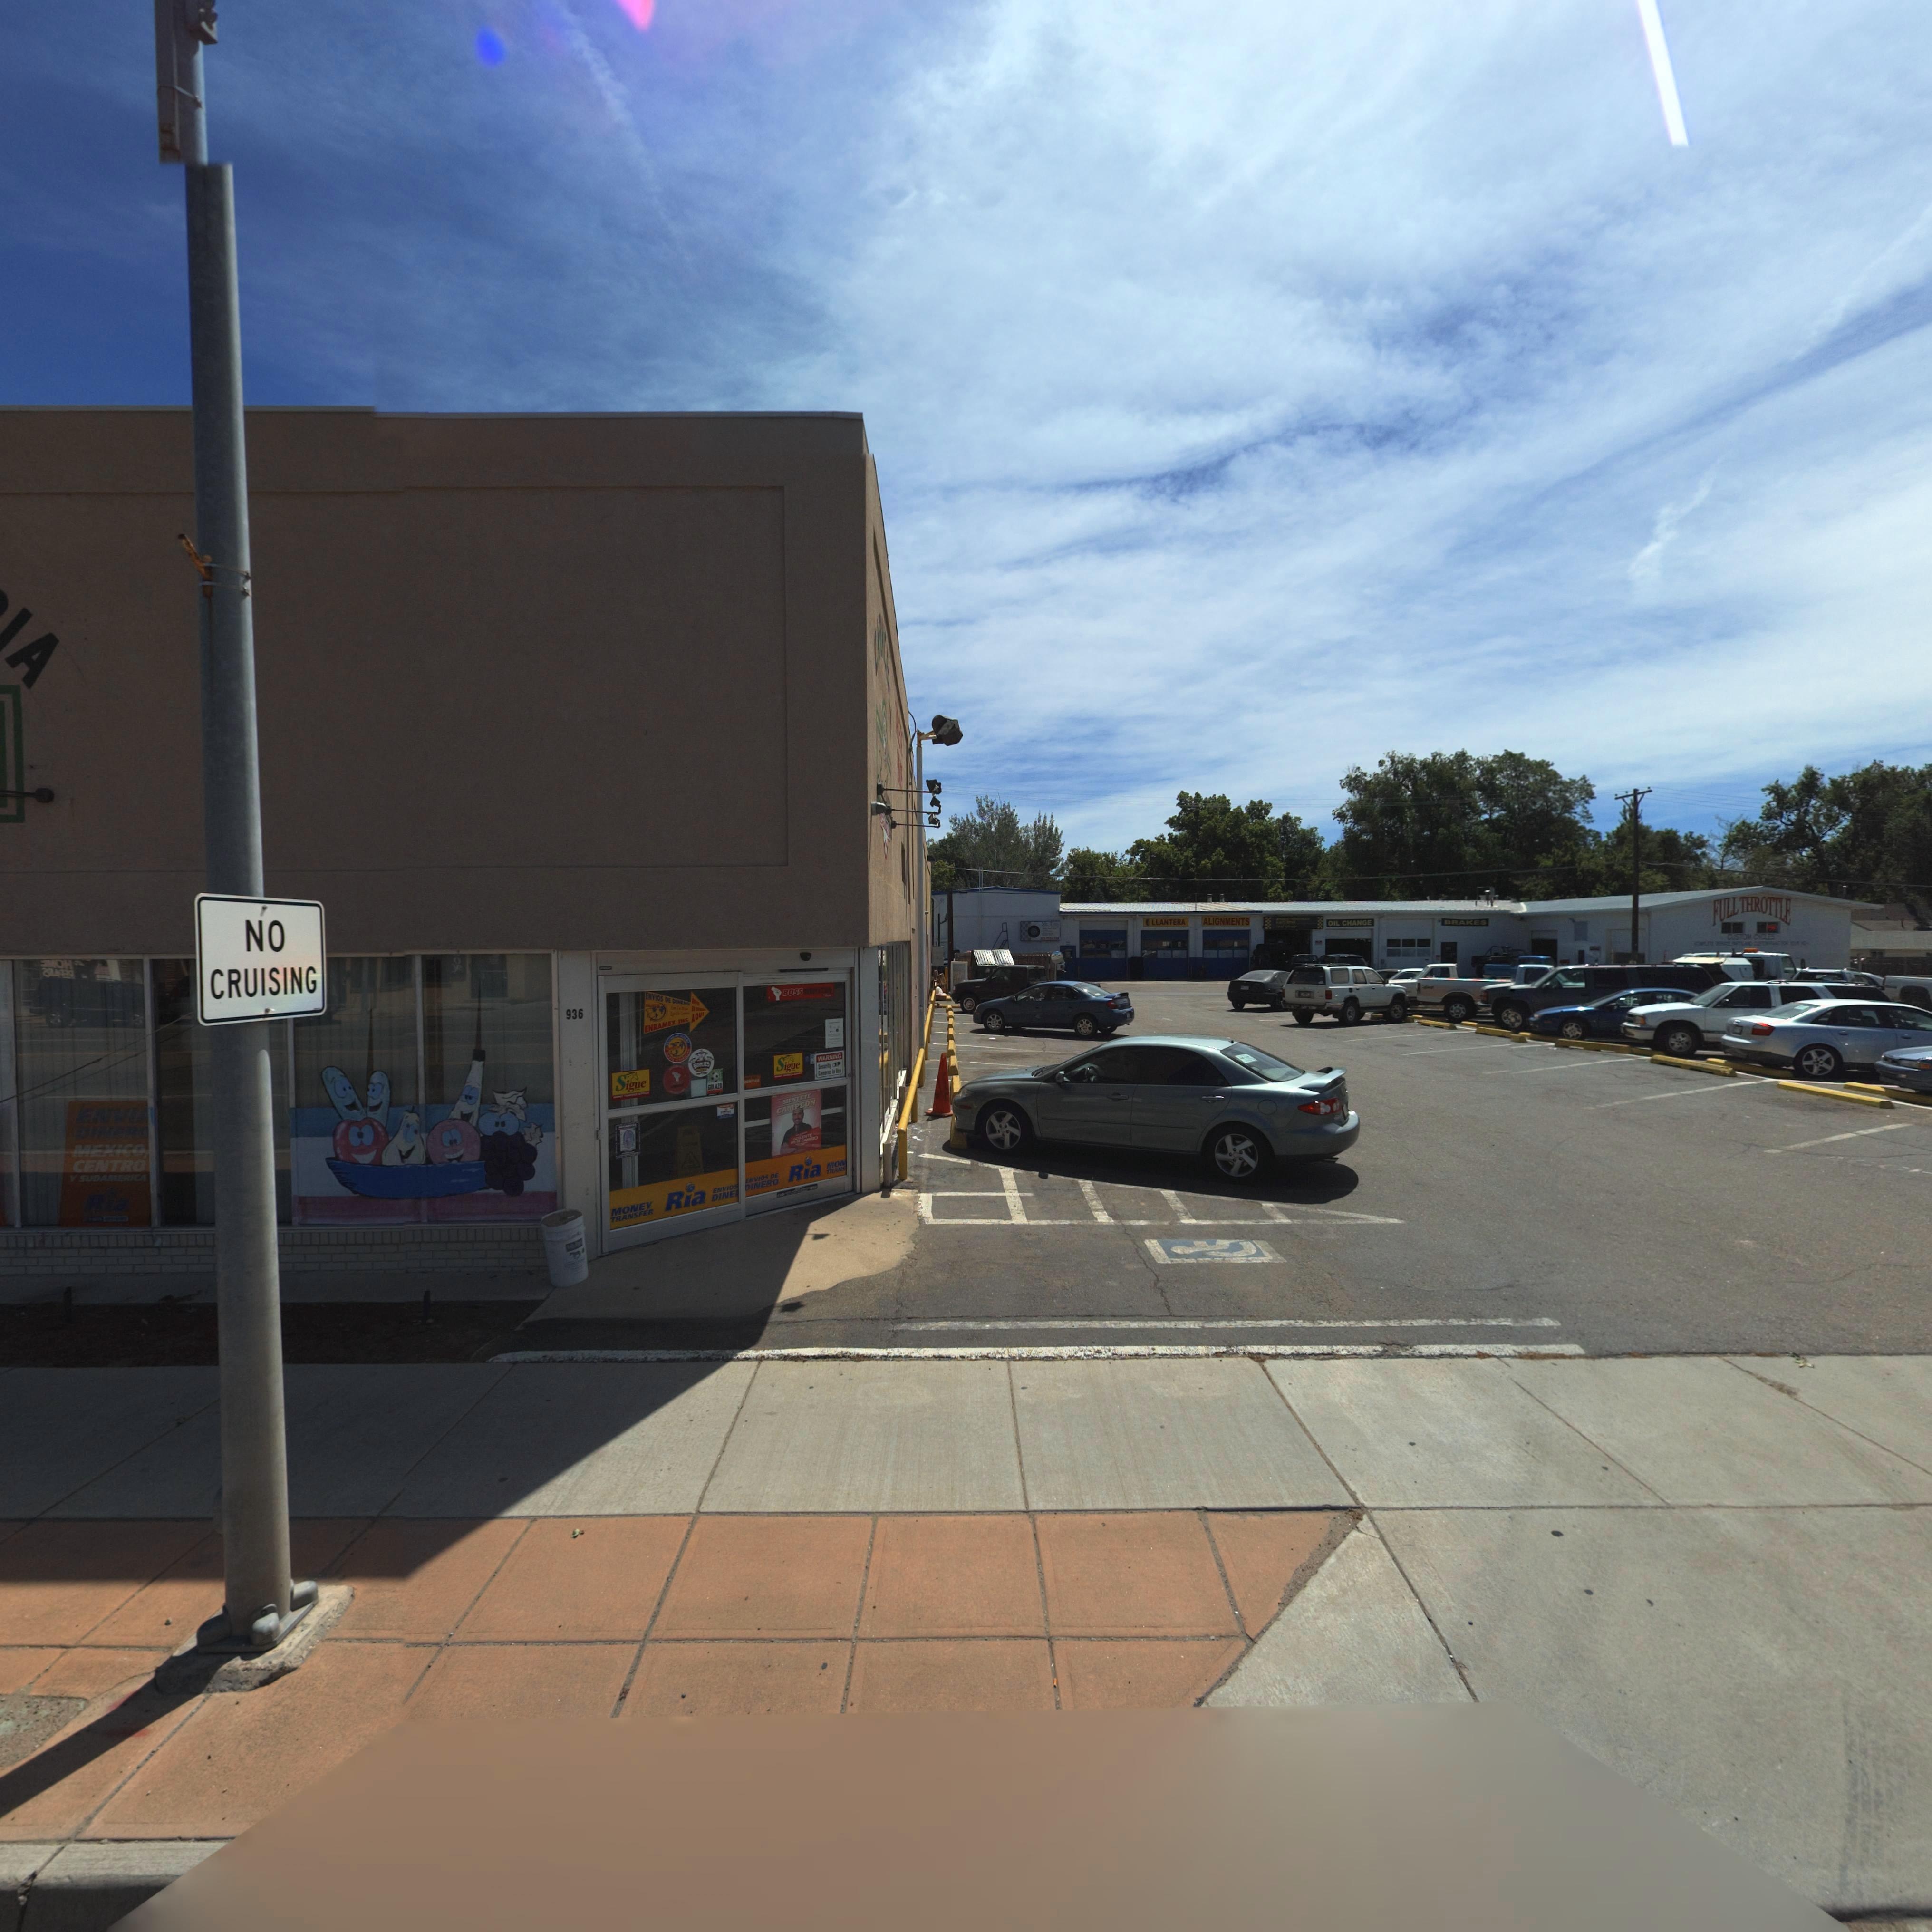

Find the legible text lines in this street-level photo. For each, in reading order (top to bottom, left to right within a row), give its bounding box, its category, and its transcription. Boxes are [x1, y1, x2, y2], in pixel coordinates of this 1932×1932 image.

[1042, 921, 1058, 926] BusinessName: MR. TIRES
[566, 1008, 583, 1020] StreetNumber: 936